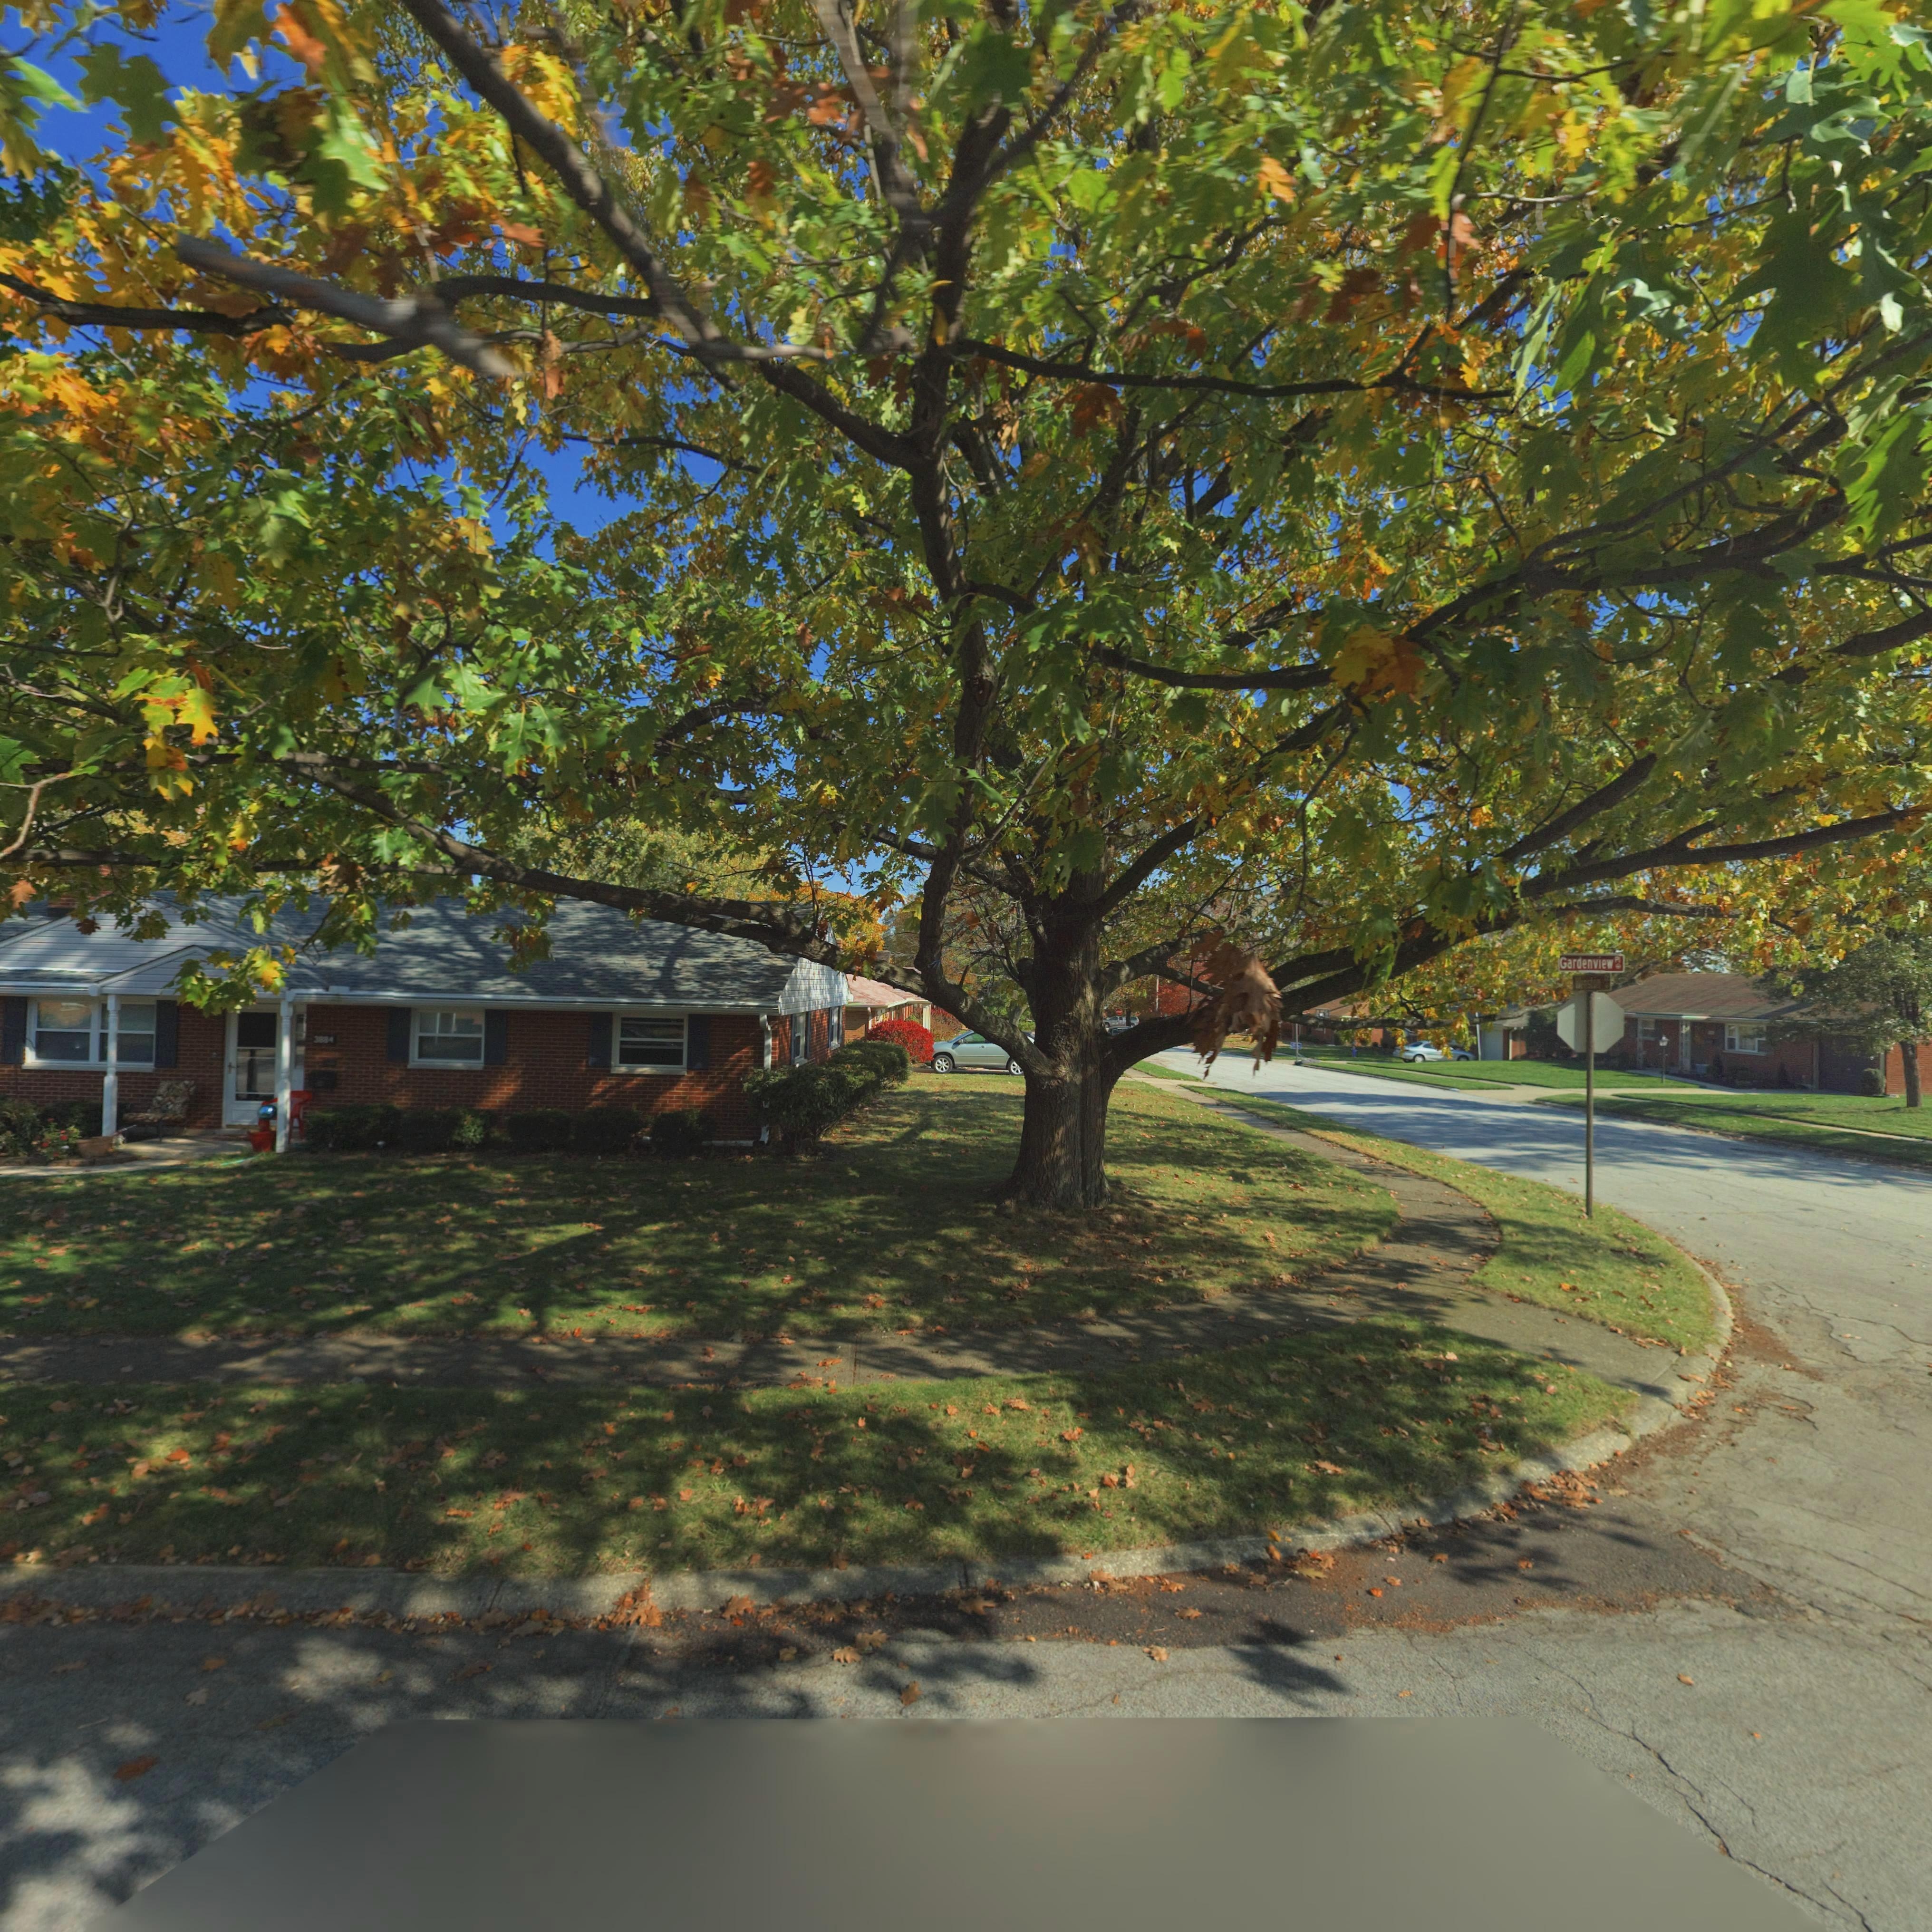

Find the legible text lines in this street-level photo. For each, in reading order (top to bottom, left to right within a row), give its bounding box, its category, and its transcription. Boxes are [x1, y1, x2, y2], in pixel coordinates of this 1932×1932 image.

[1560, 956, 1622, 969] StreetName: Gardenview Pl
[1574, 975, 1609, 989] StreetName: Weston Ct
[1116, 1010, 1122, 1013] None: STOP
[313, 1034, 334, 1043] StreetNumber: 3884